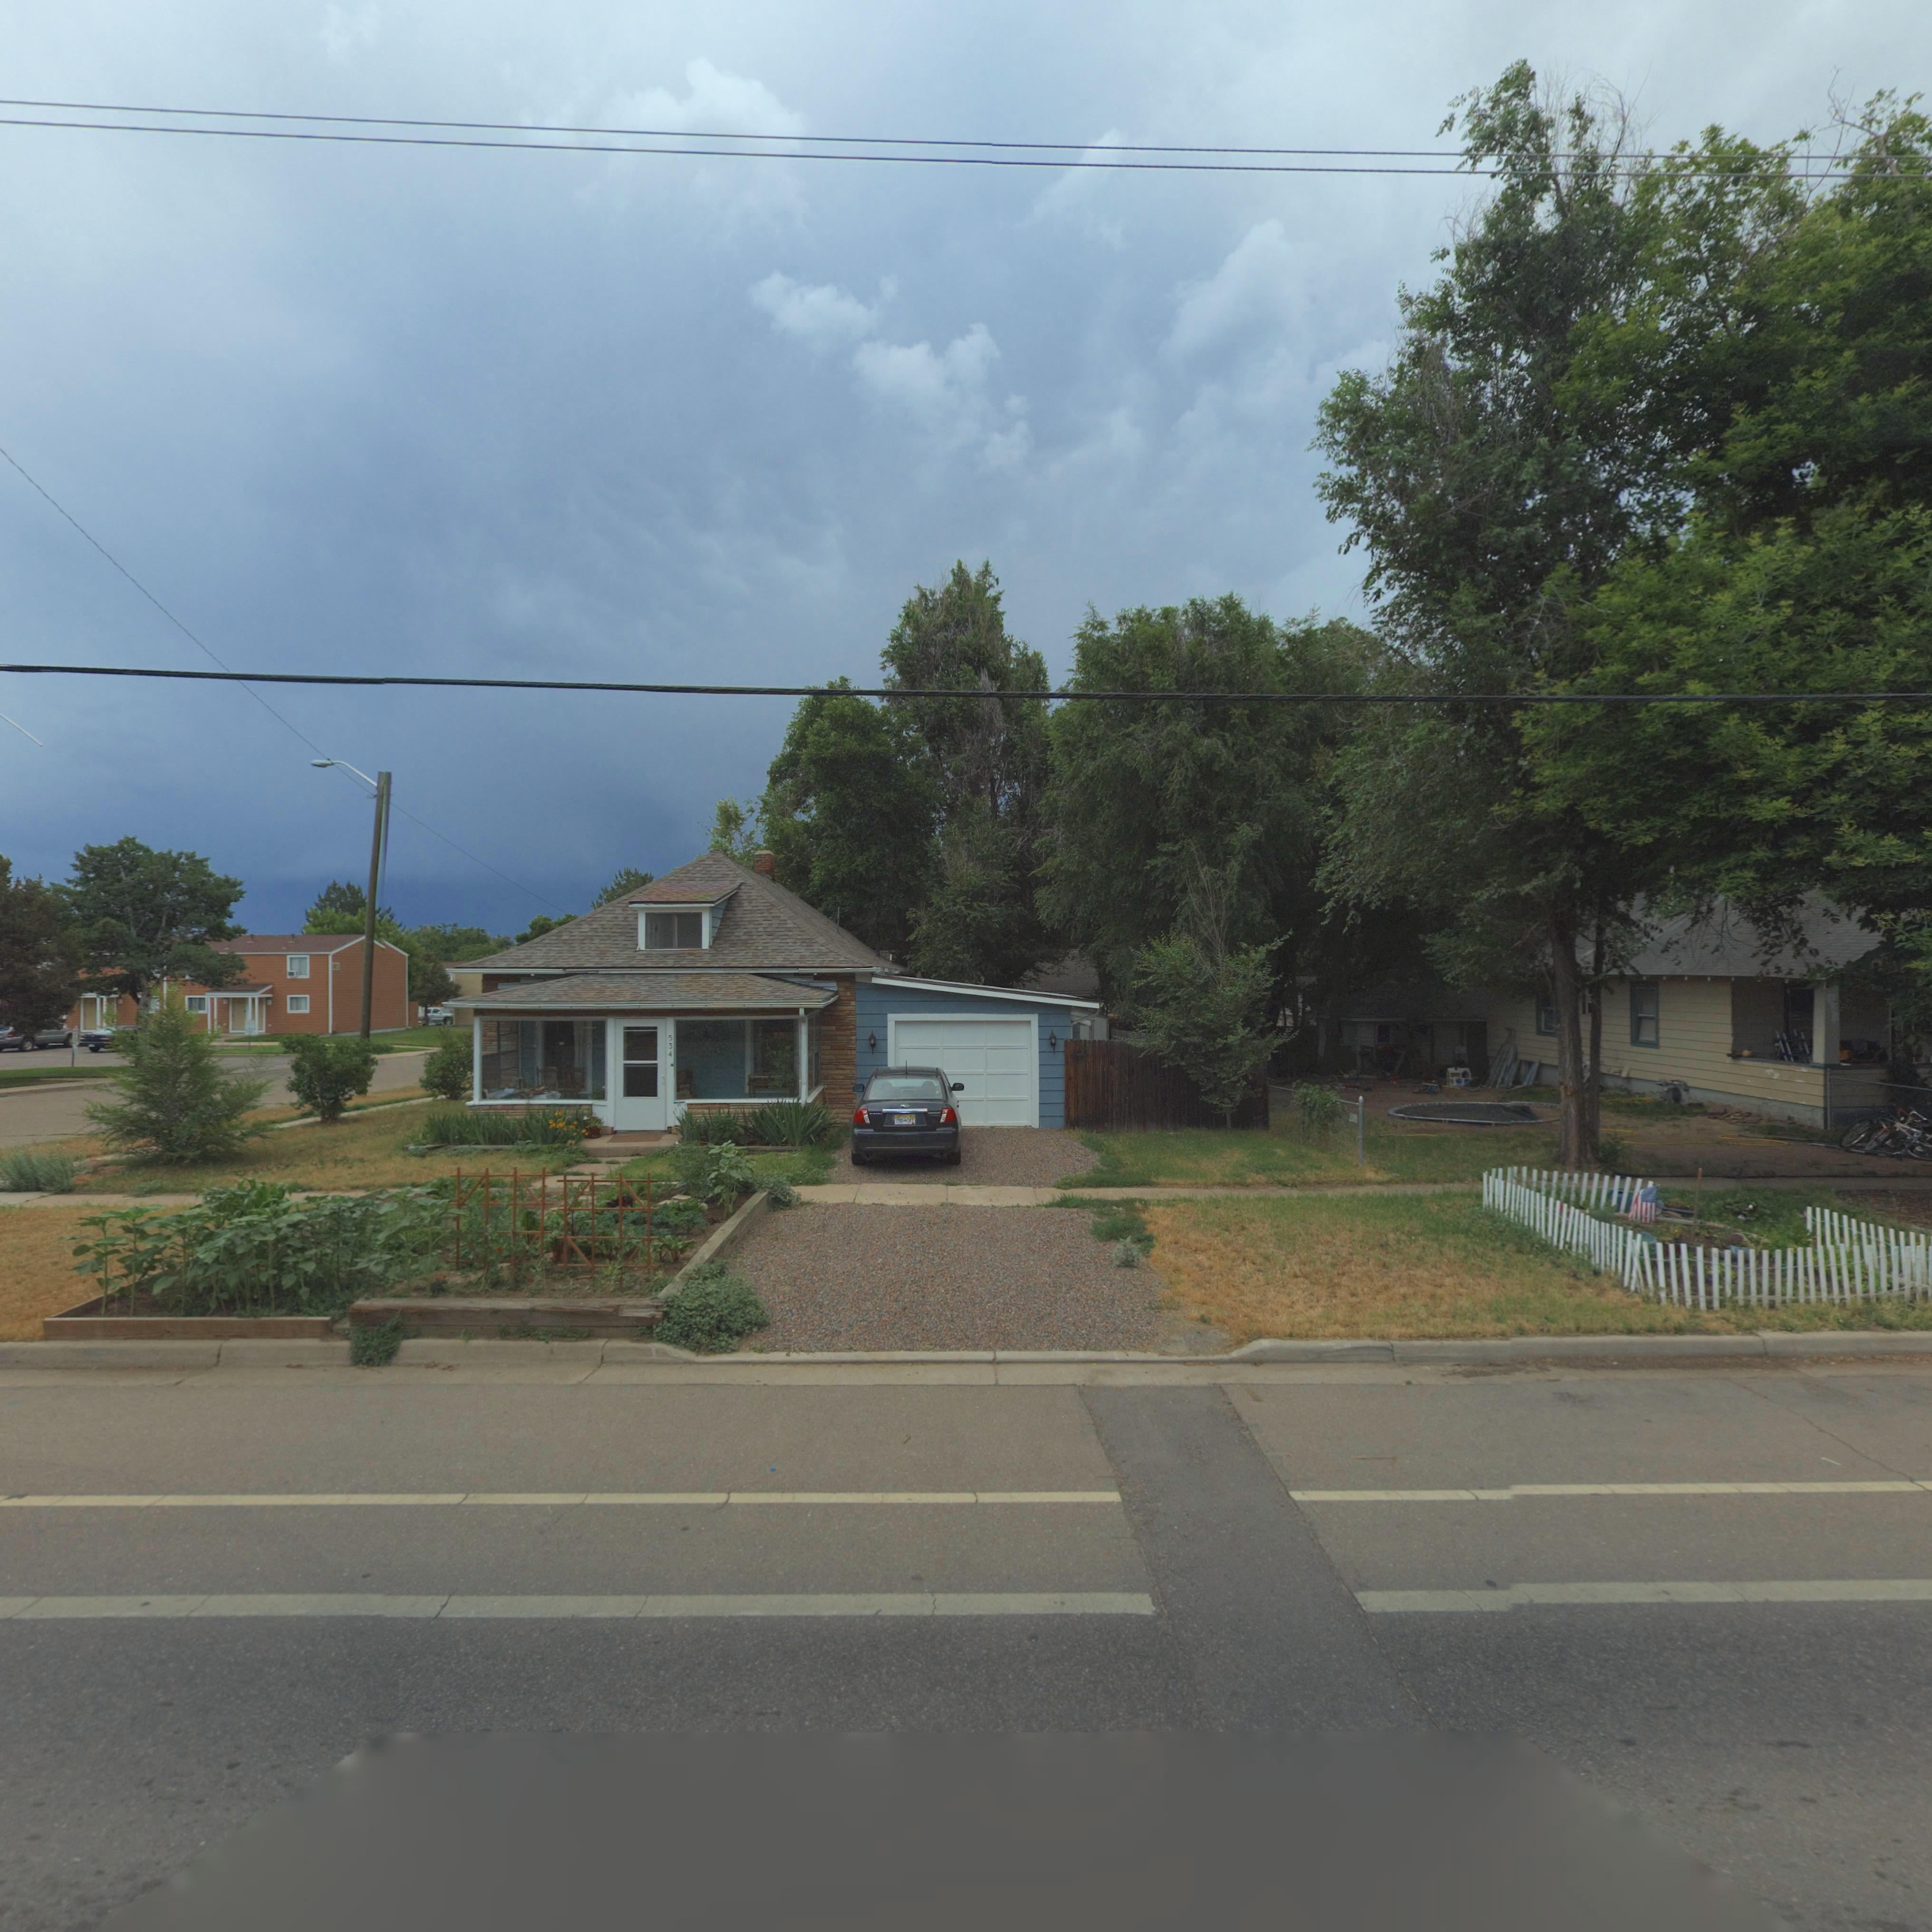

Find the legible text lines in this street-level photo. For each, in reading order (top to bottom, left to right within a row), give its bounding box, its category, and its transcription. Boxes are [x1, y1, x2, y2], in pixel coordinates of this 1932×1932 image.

[668, 1034, 673, 1057] StreetNumber: 534